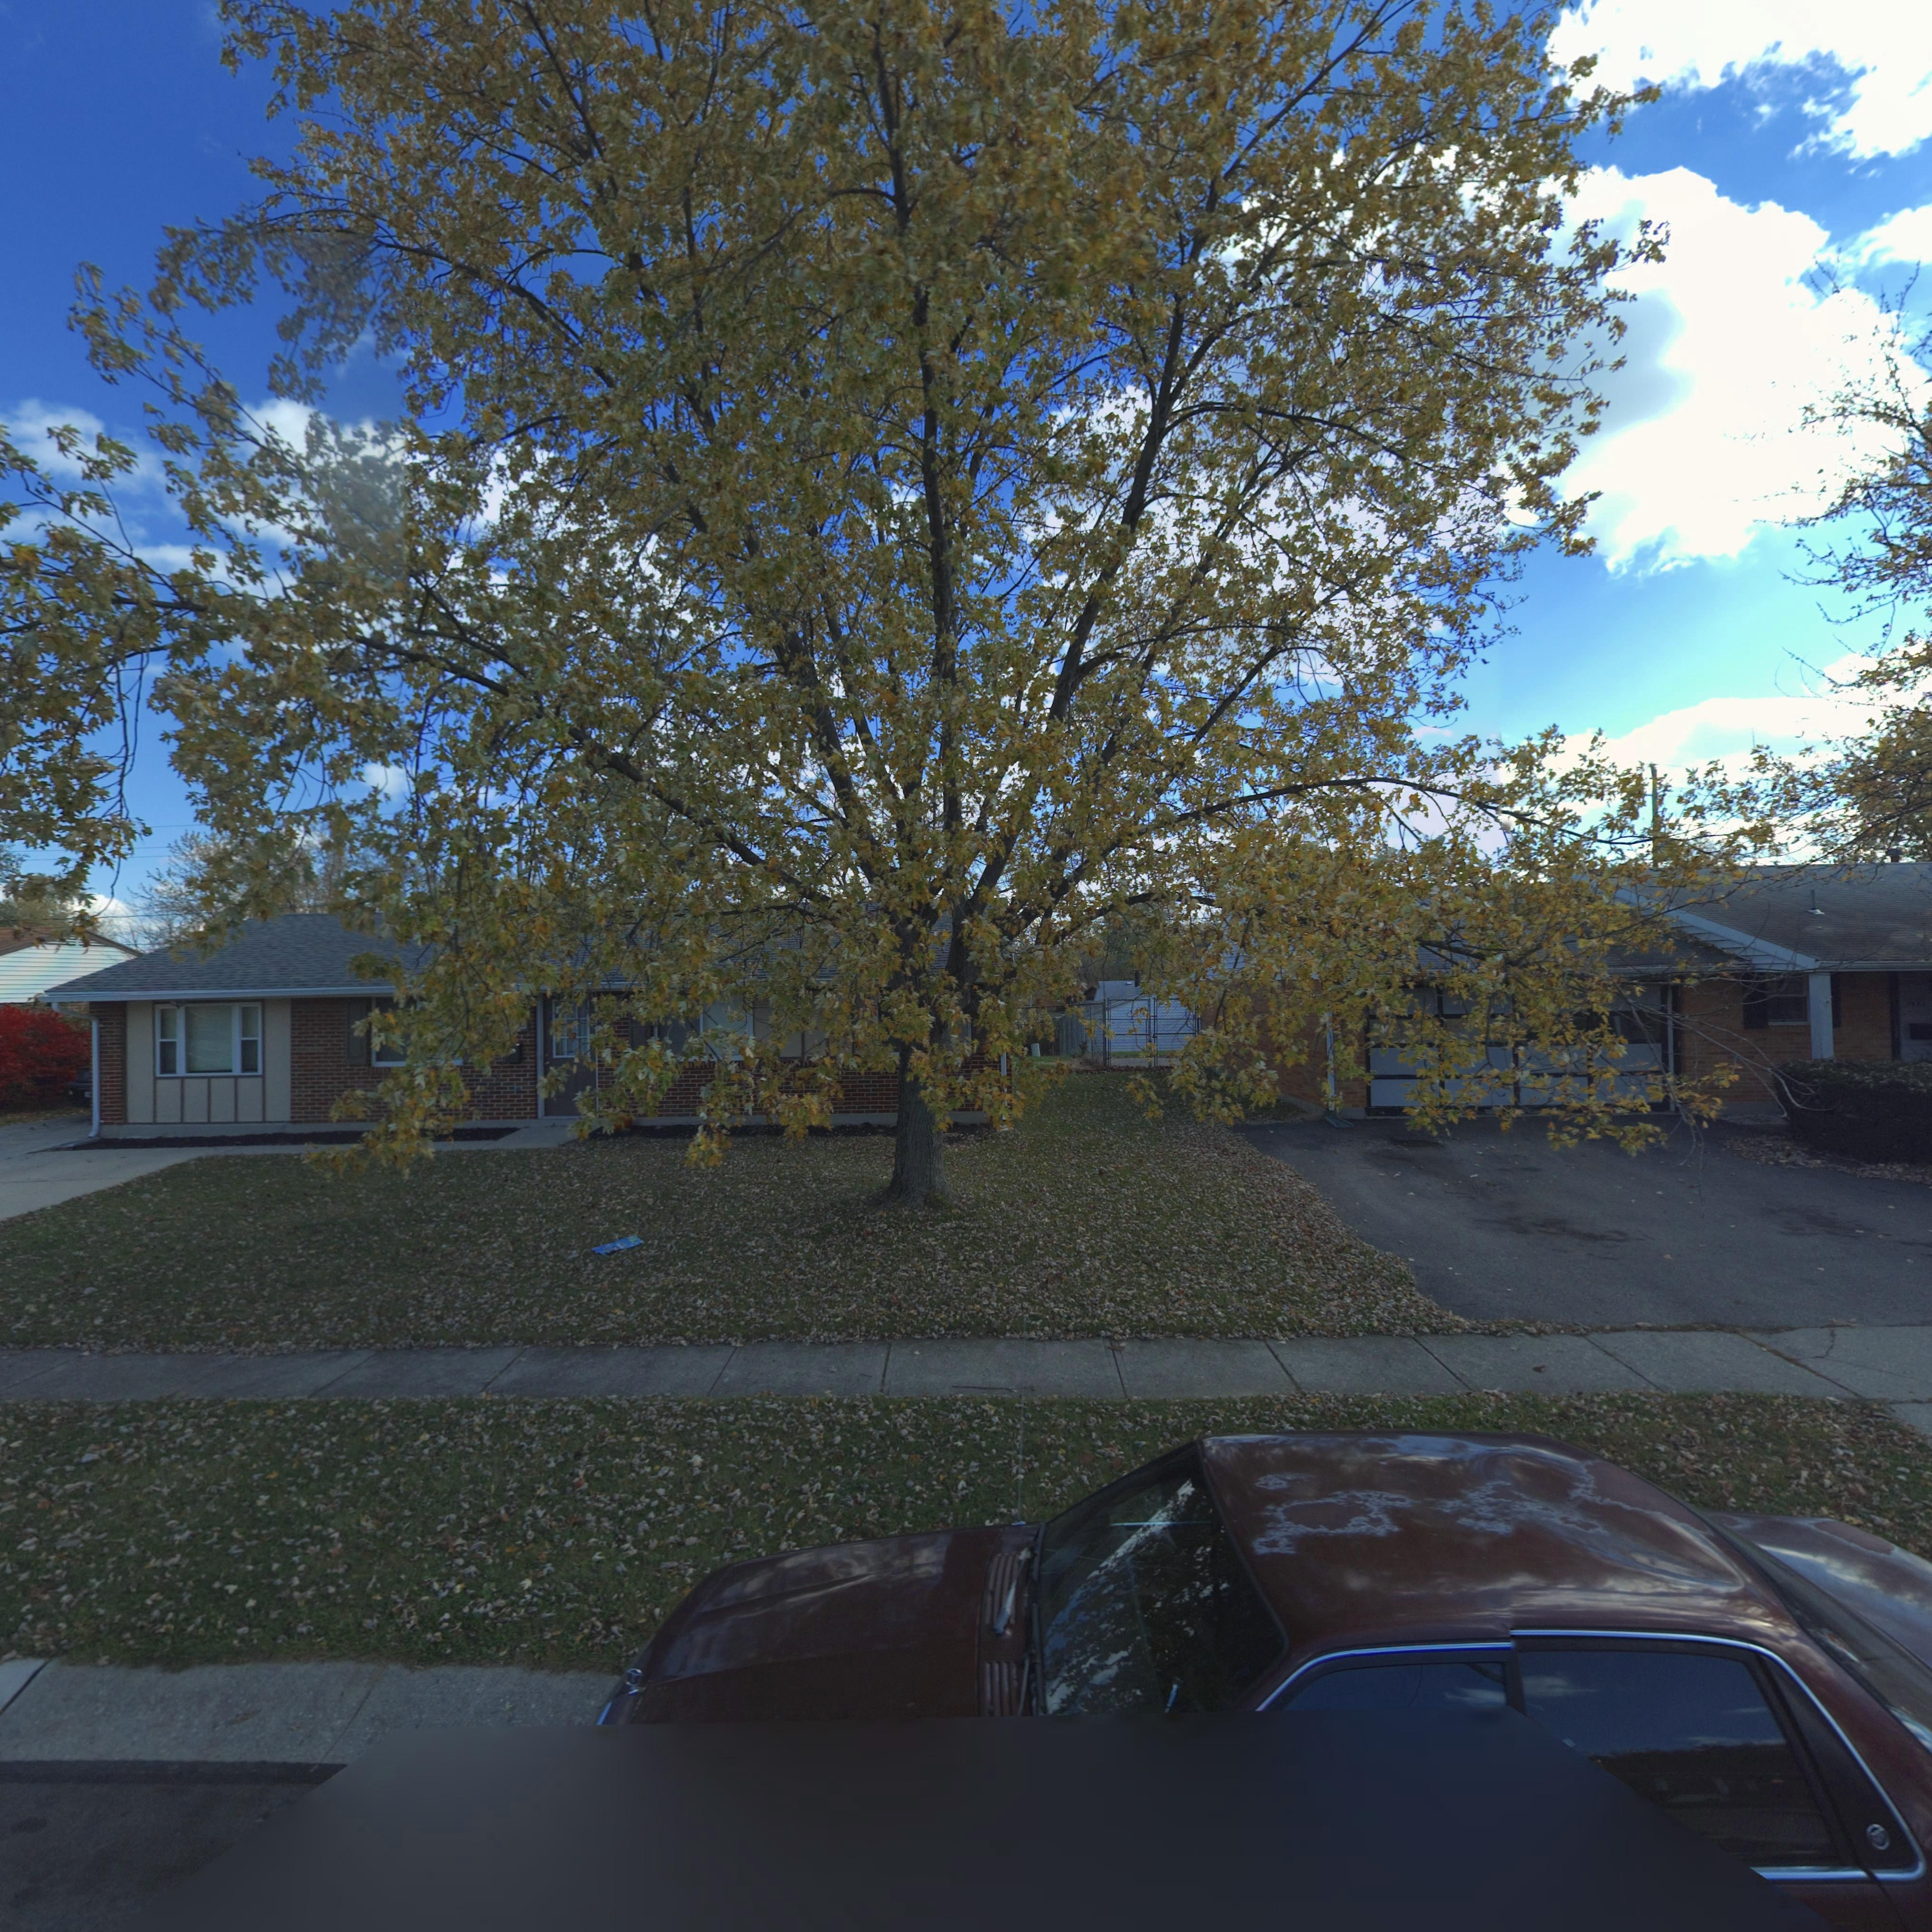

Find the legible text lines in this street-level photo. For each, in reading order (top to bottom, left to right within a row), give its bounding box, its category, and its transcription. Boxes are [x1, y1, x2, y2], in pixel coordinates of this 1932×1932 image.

[1904, 1000, 1926, 1007] StreetNumber: 76**